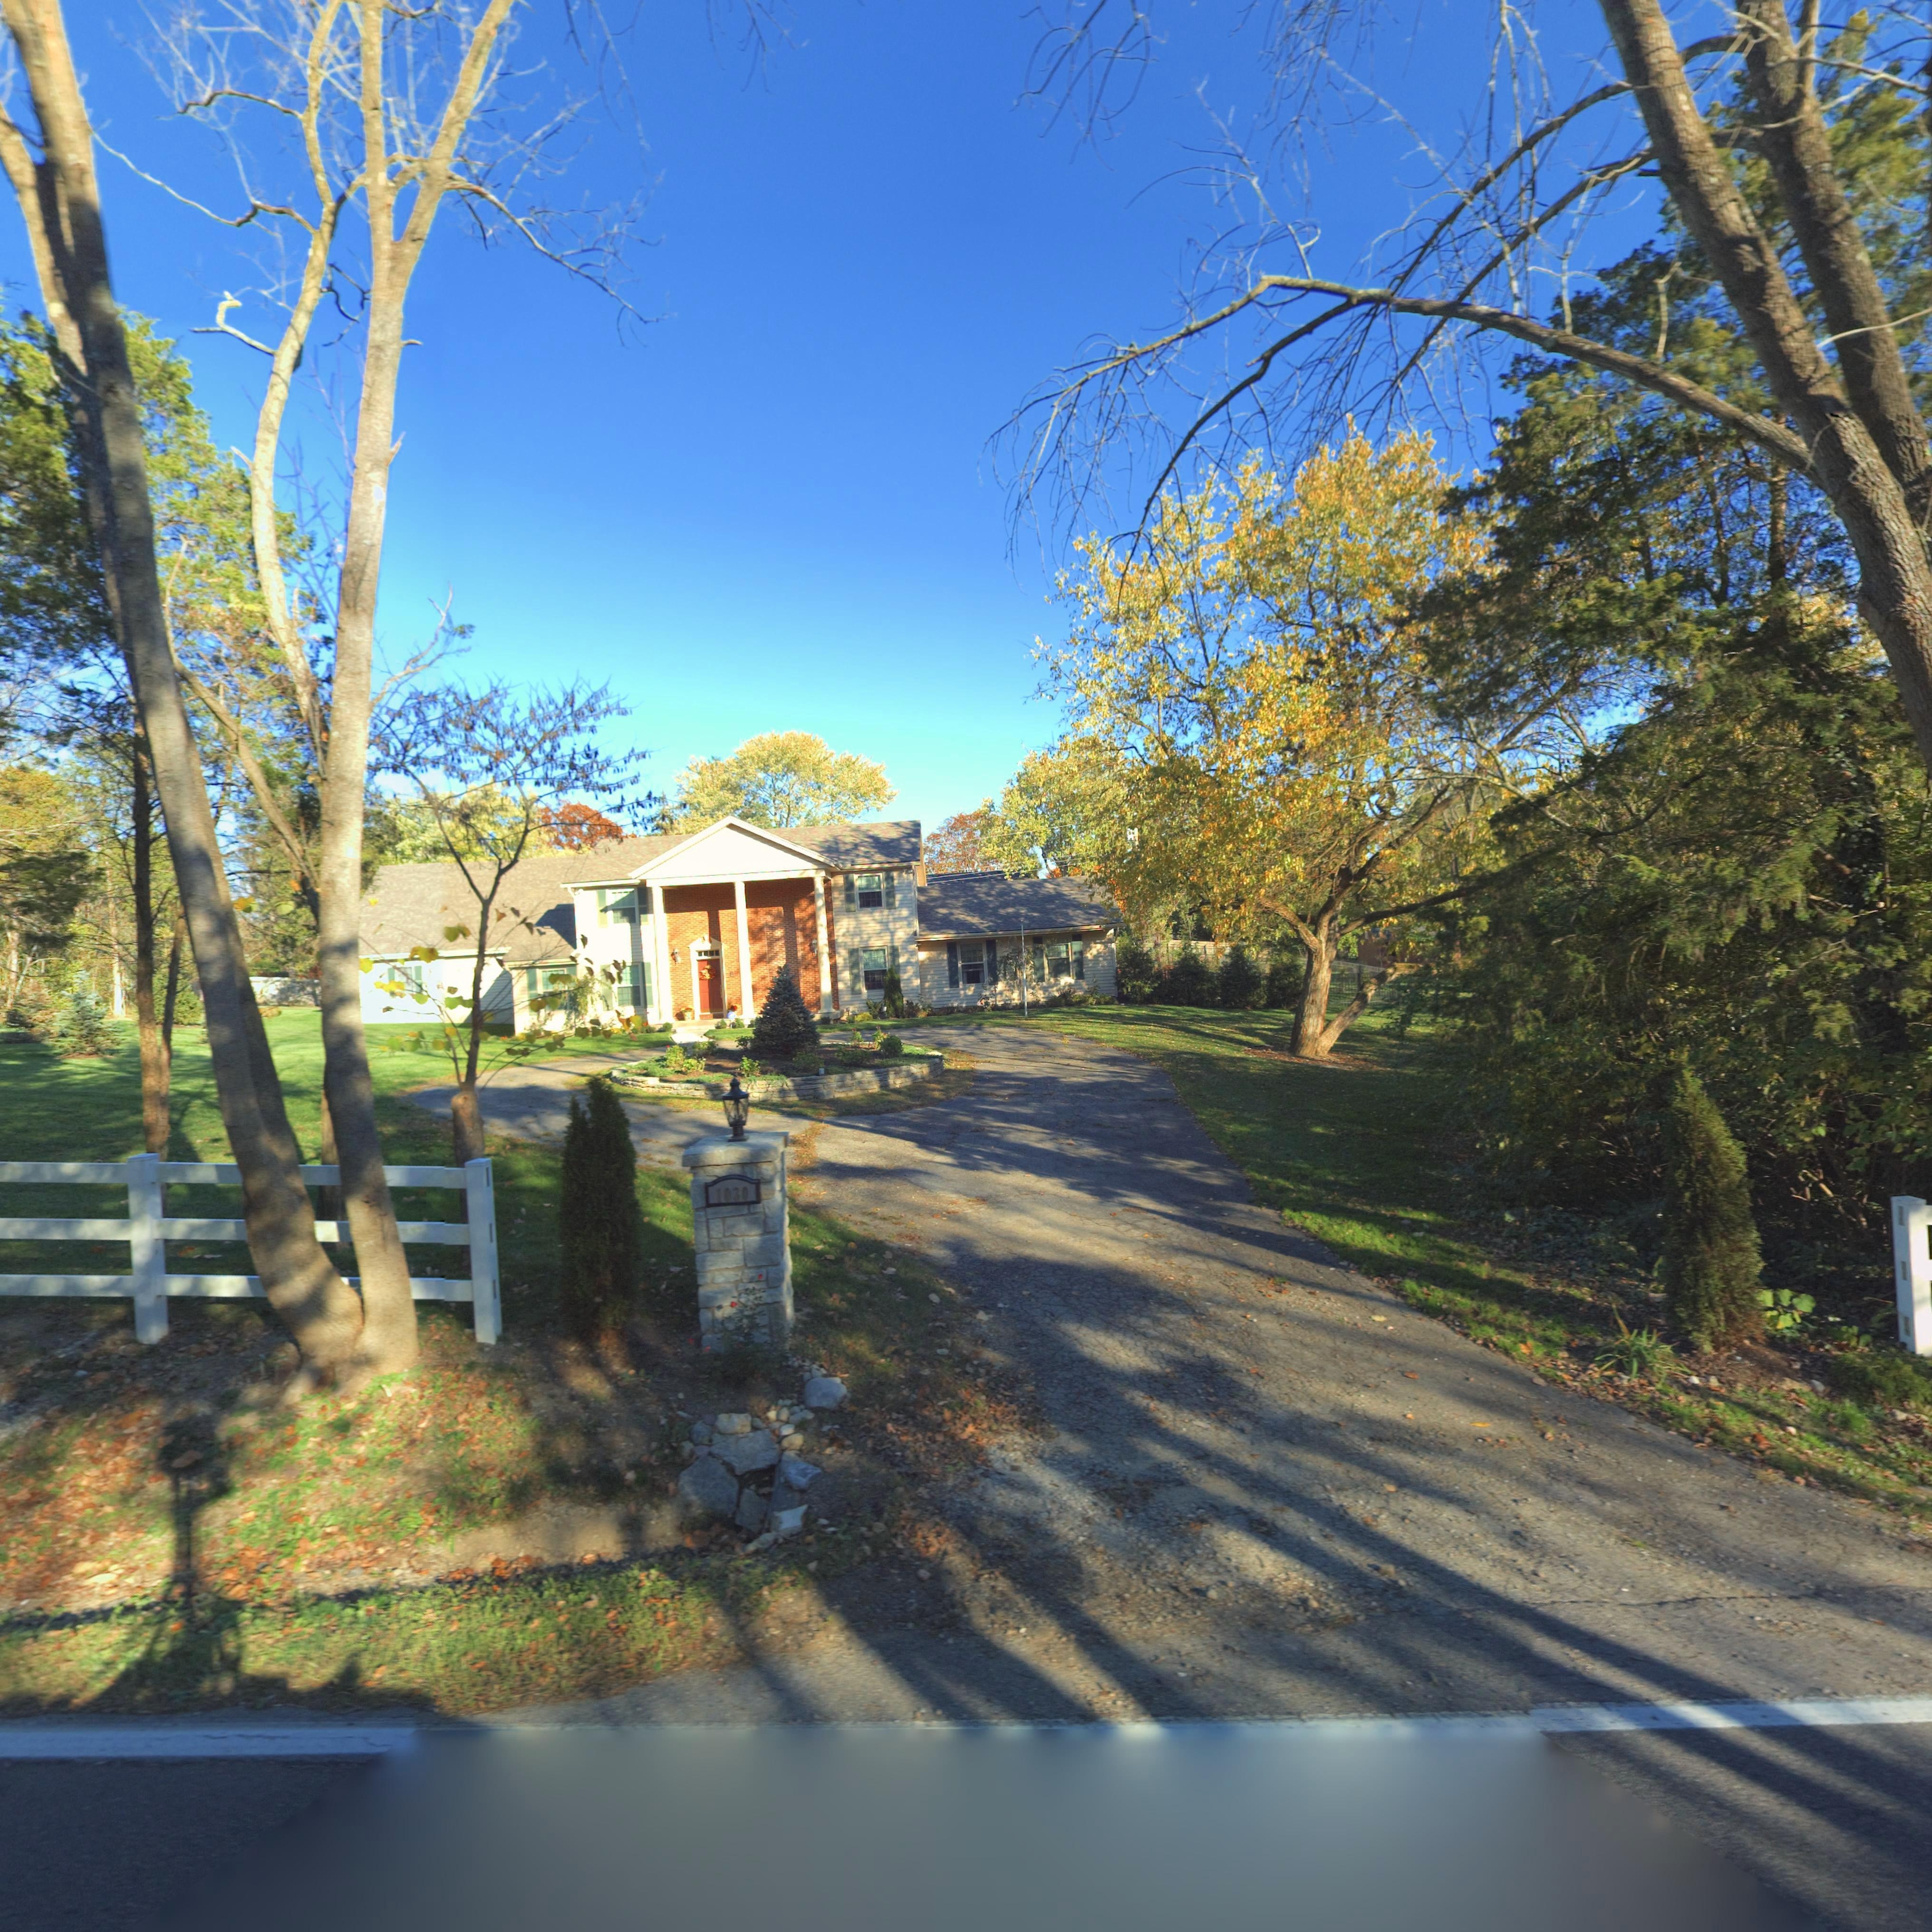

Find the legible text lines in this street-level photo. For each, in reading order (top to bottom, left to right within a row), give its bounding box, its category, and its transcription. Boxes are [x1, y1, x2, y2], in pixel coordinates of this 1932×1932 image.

[715, 1185, 749, 1203] StreetNumber: 1030